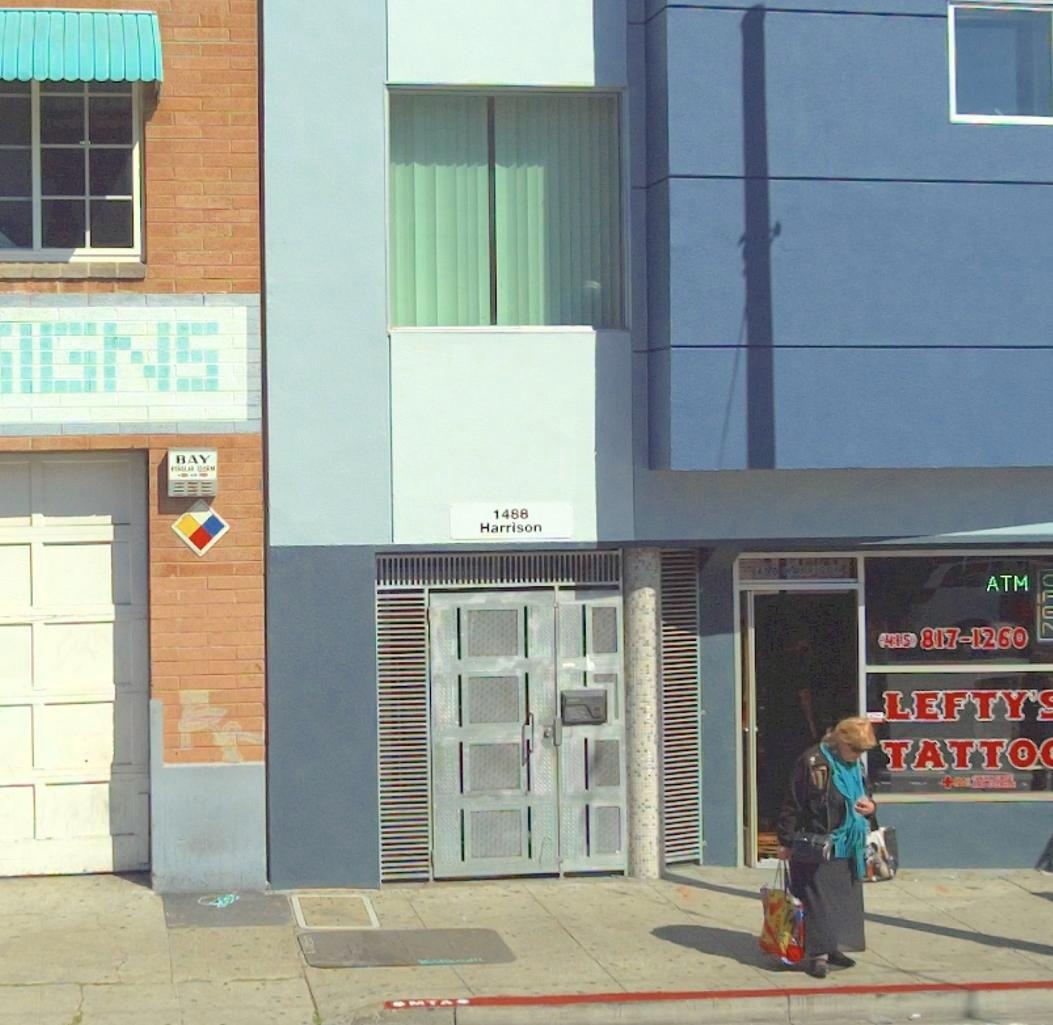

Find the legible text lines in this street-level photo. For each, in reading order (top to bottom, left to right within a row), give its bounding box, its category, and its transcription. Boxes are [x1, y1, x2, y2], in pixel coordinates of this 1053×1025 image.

[13, 316, 223, 399] BusinessName: IGNS
[174, 451, 214, 467] None: BAY
[491, 504, 531, 522] StreetNumber: 1488
[476, 520, 545, 537] StreetName: Harrison
[981, 568, 1034, 598] None: ATM
[876, 624, 1036, 654] None: (415) 817-1260
[879, 685, 1044, 726] BusinessName: LEFTY'
[874, 734, 1044, 775] BusinessName: TATTO
[405, 995, 457, 1011] None: MTA